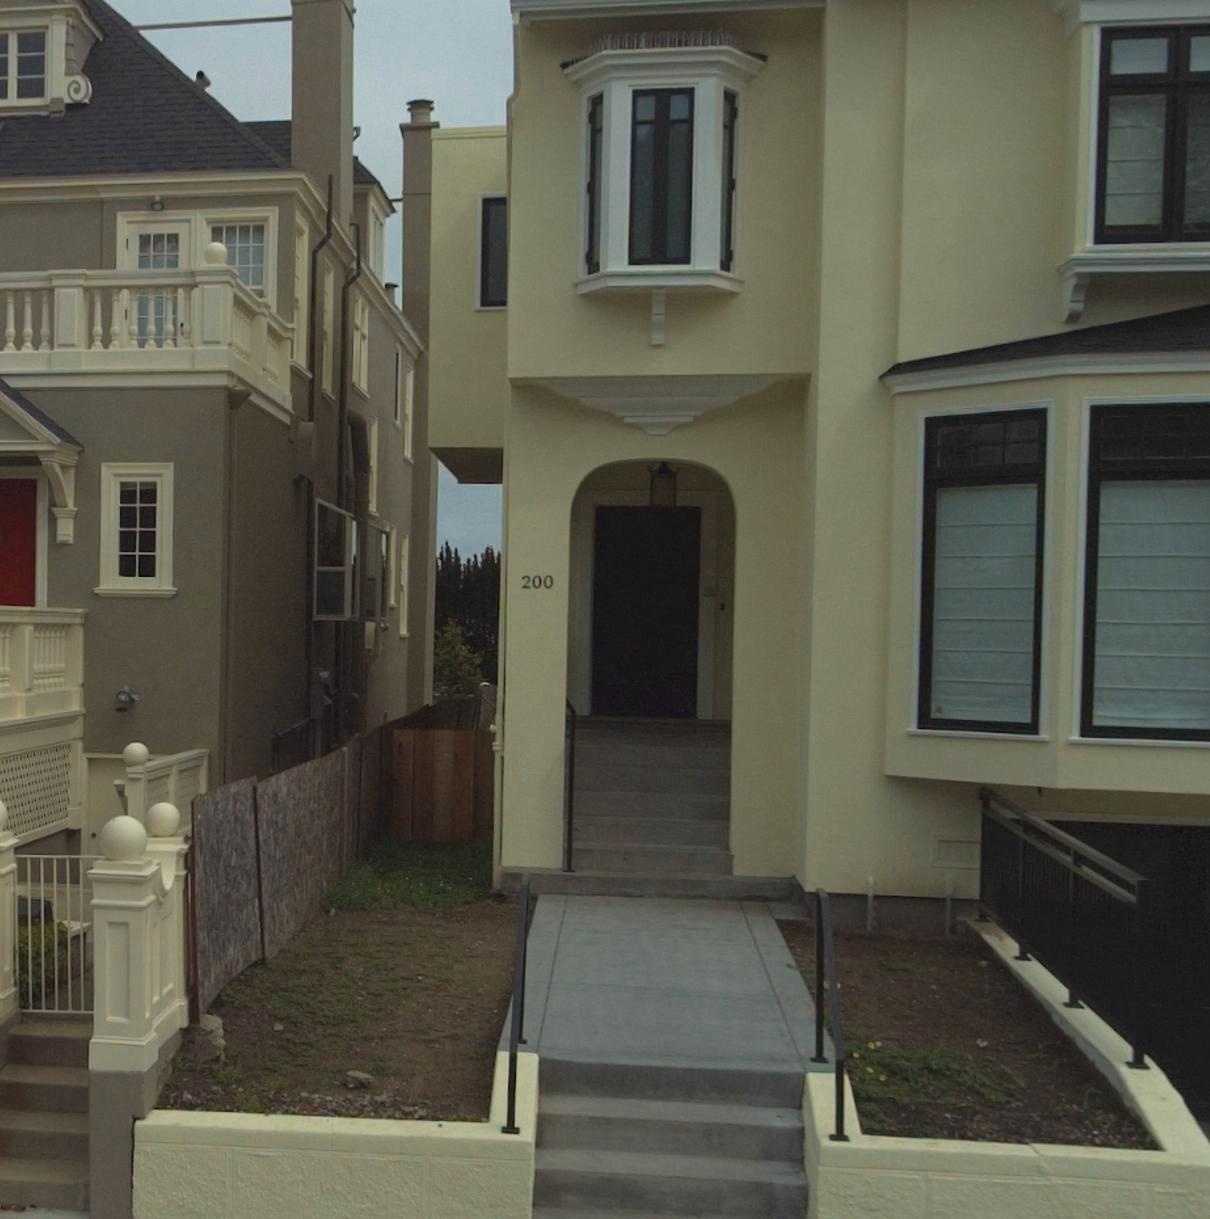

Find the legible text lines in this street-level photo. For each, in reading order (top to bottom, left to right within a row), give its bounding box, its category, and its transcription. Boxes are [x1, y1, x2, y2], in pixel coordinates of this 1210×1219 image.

[521, 574, 554, 590] StreetNumber: 200